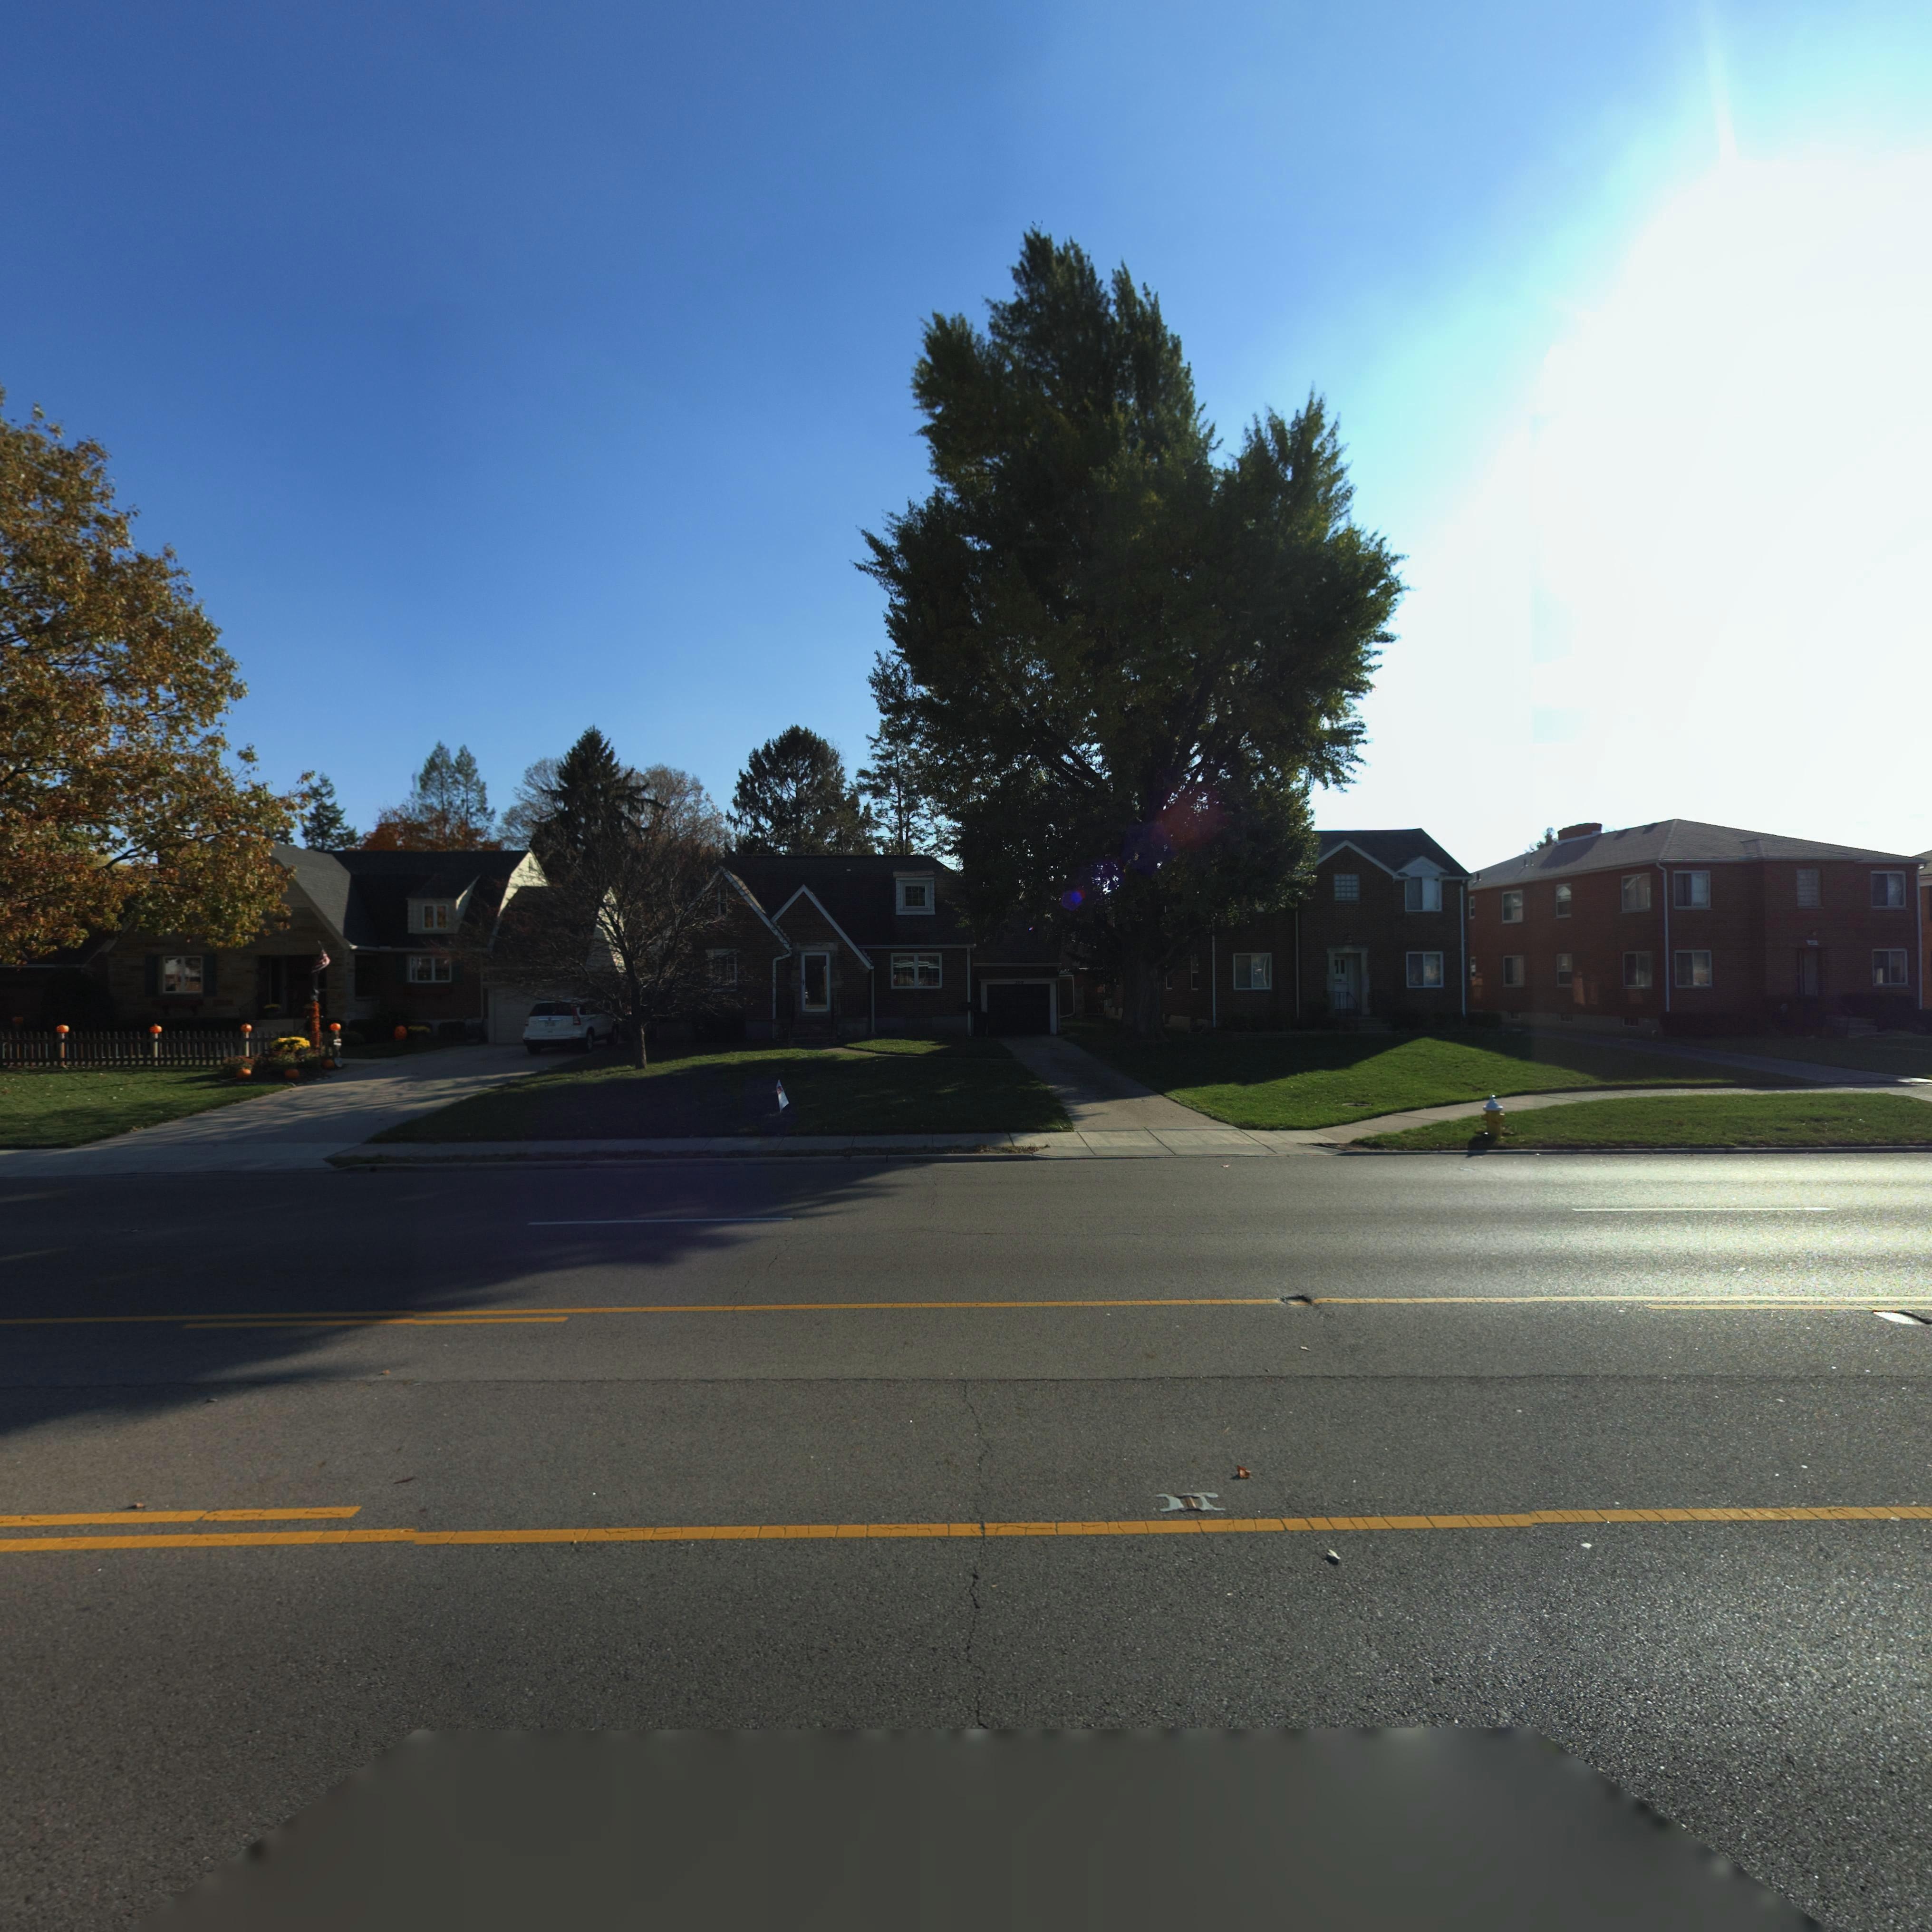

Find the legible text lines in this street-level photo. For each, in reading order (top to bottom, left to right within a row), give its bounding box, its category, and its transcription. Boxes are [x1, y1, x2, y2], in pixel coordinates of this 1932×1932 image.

[1014, 980, 1024, 985] StreetNumber: 2*0